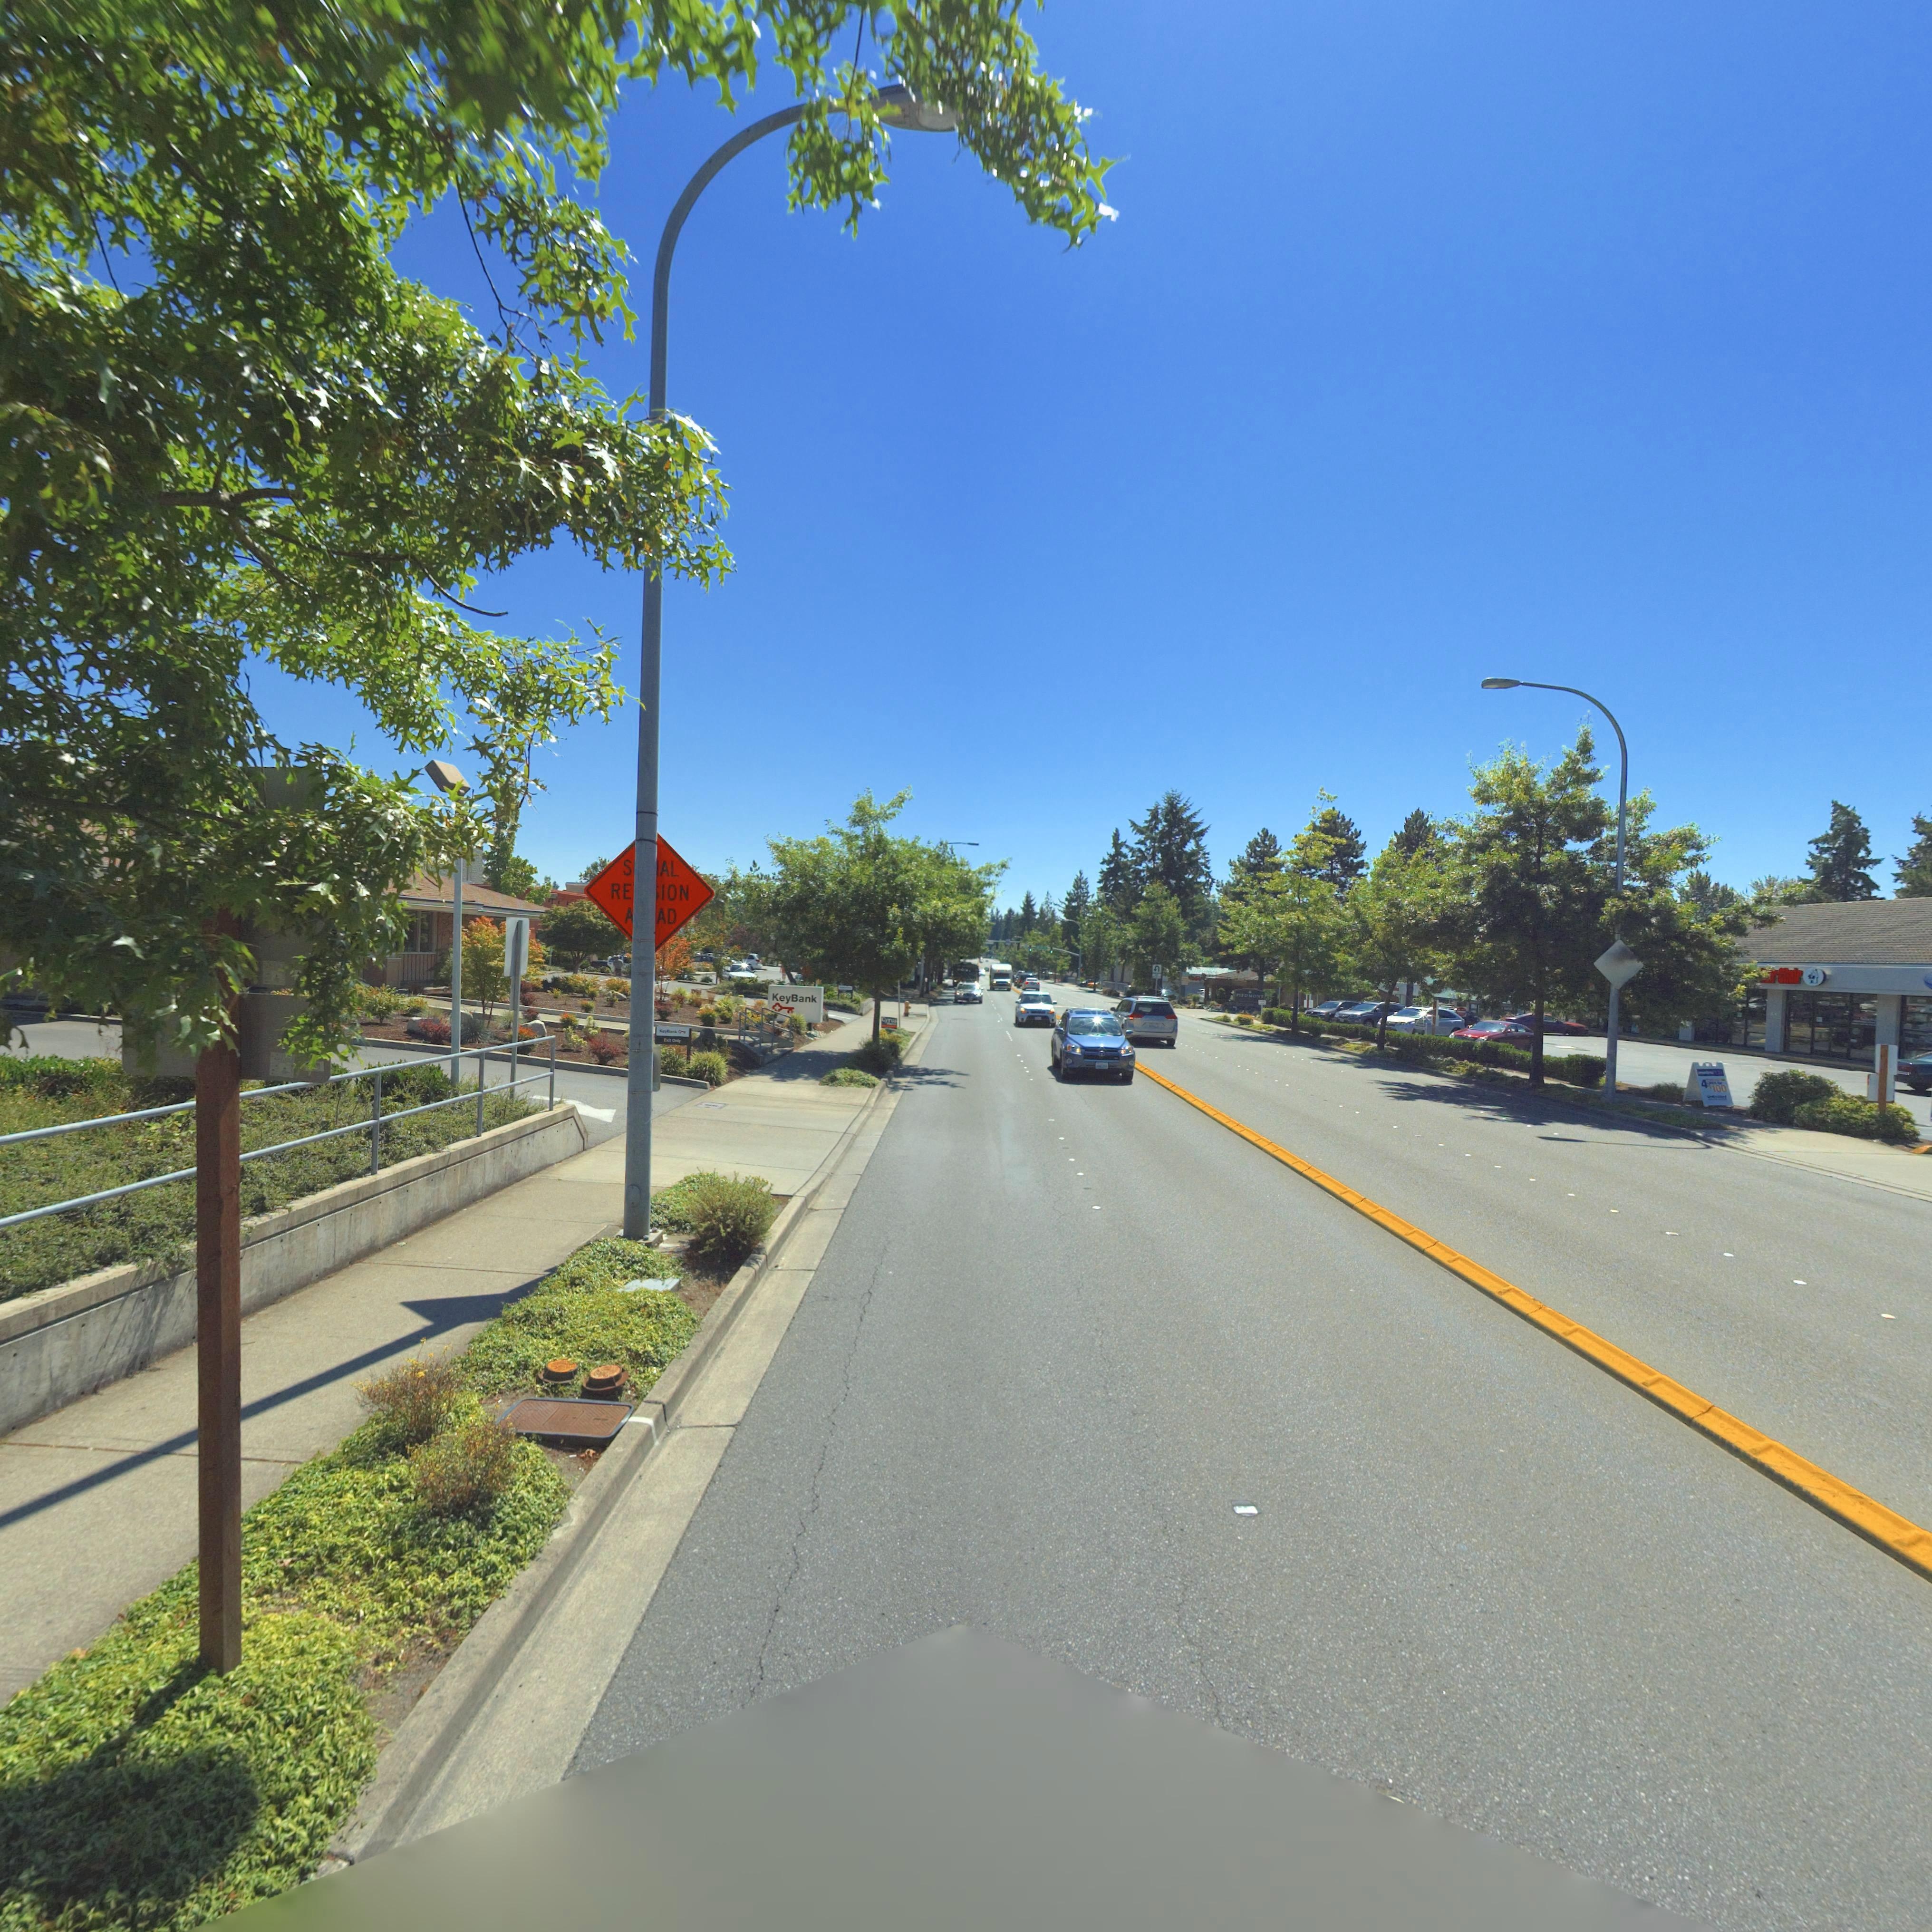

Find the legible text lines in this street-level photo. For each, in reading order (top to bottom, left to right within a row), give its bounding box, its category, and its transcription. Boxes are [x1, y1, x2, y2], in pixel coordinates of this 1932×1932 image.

[772, 992, 817, 1005] BusinessName: KeyBank
[659, 1029, 677, 1034] BusinessName: KeyBank